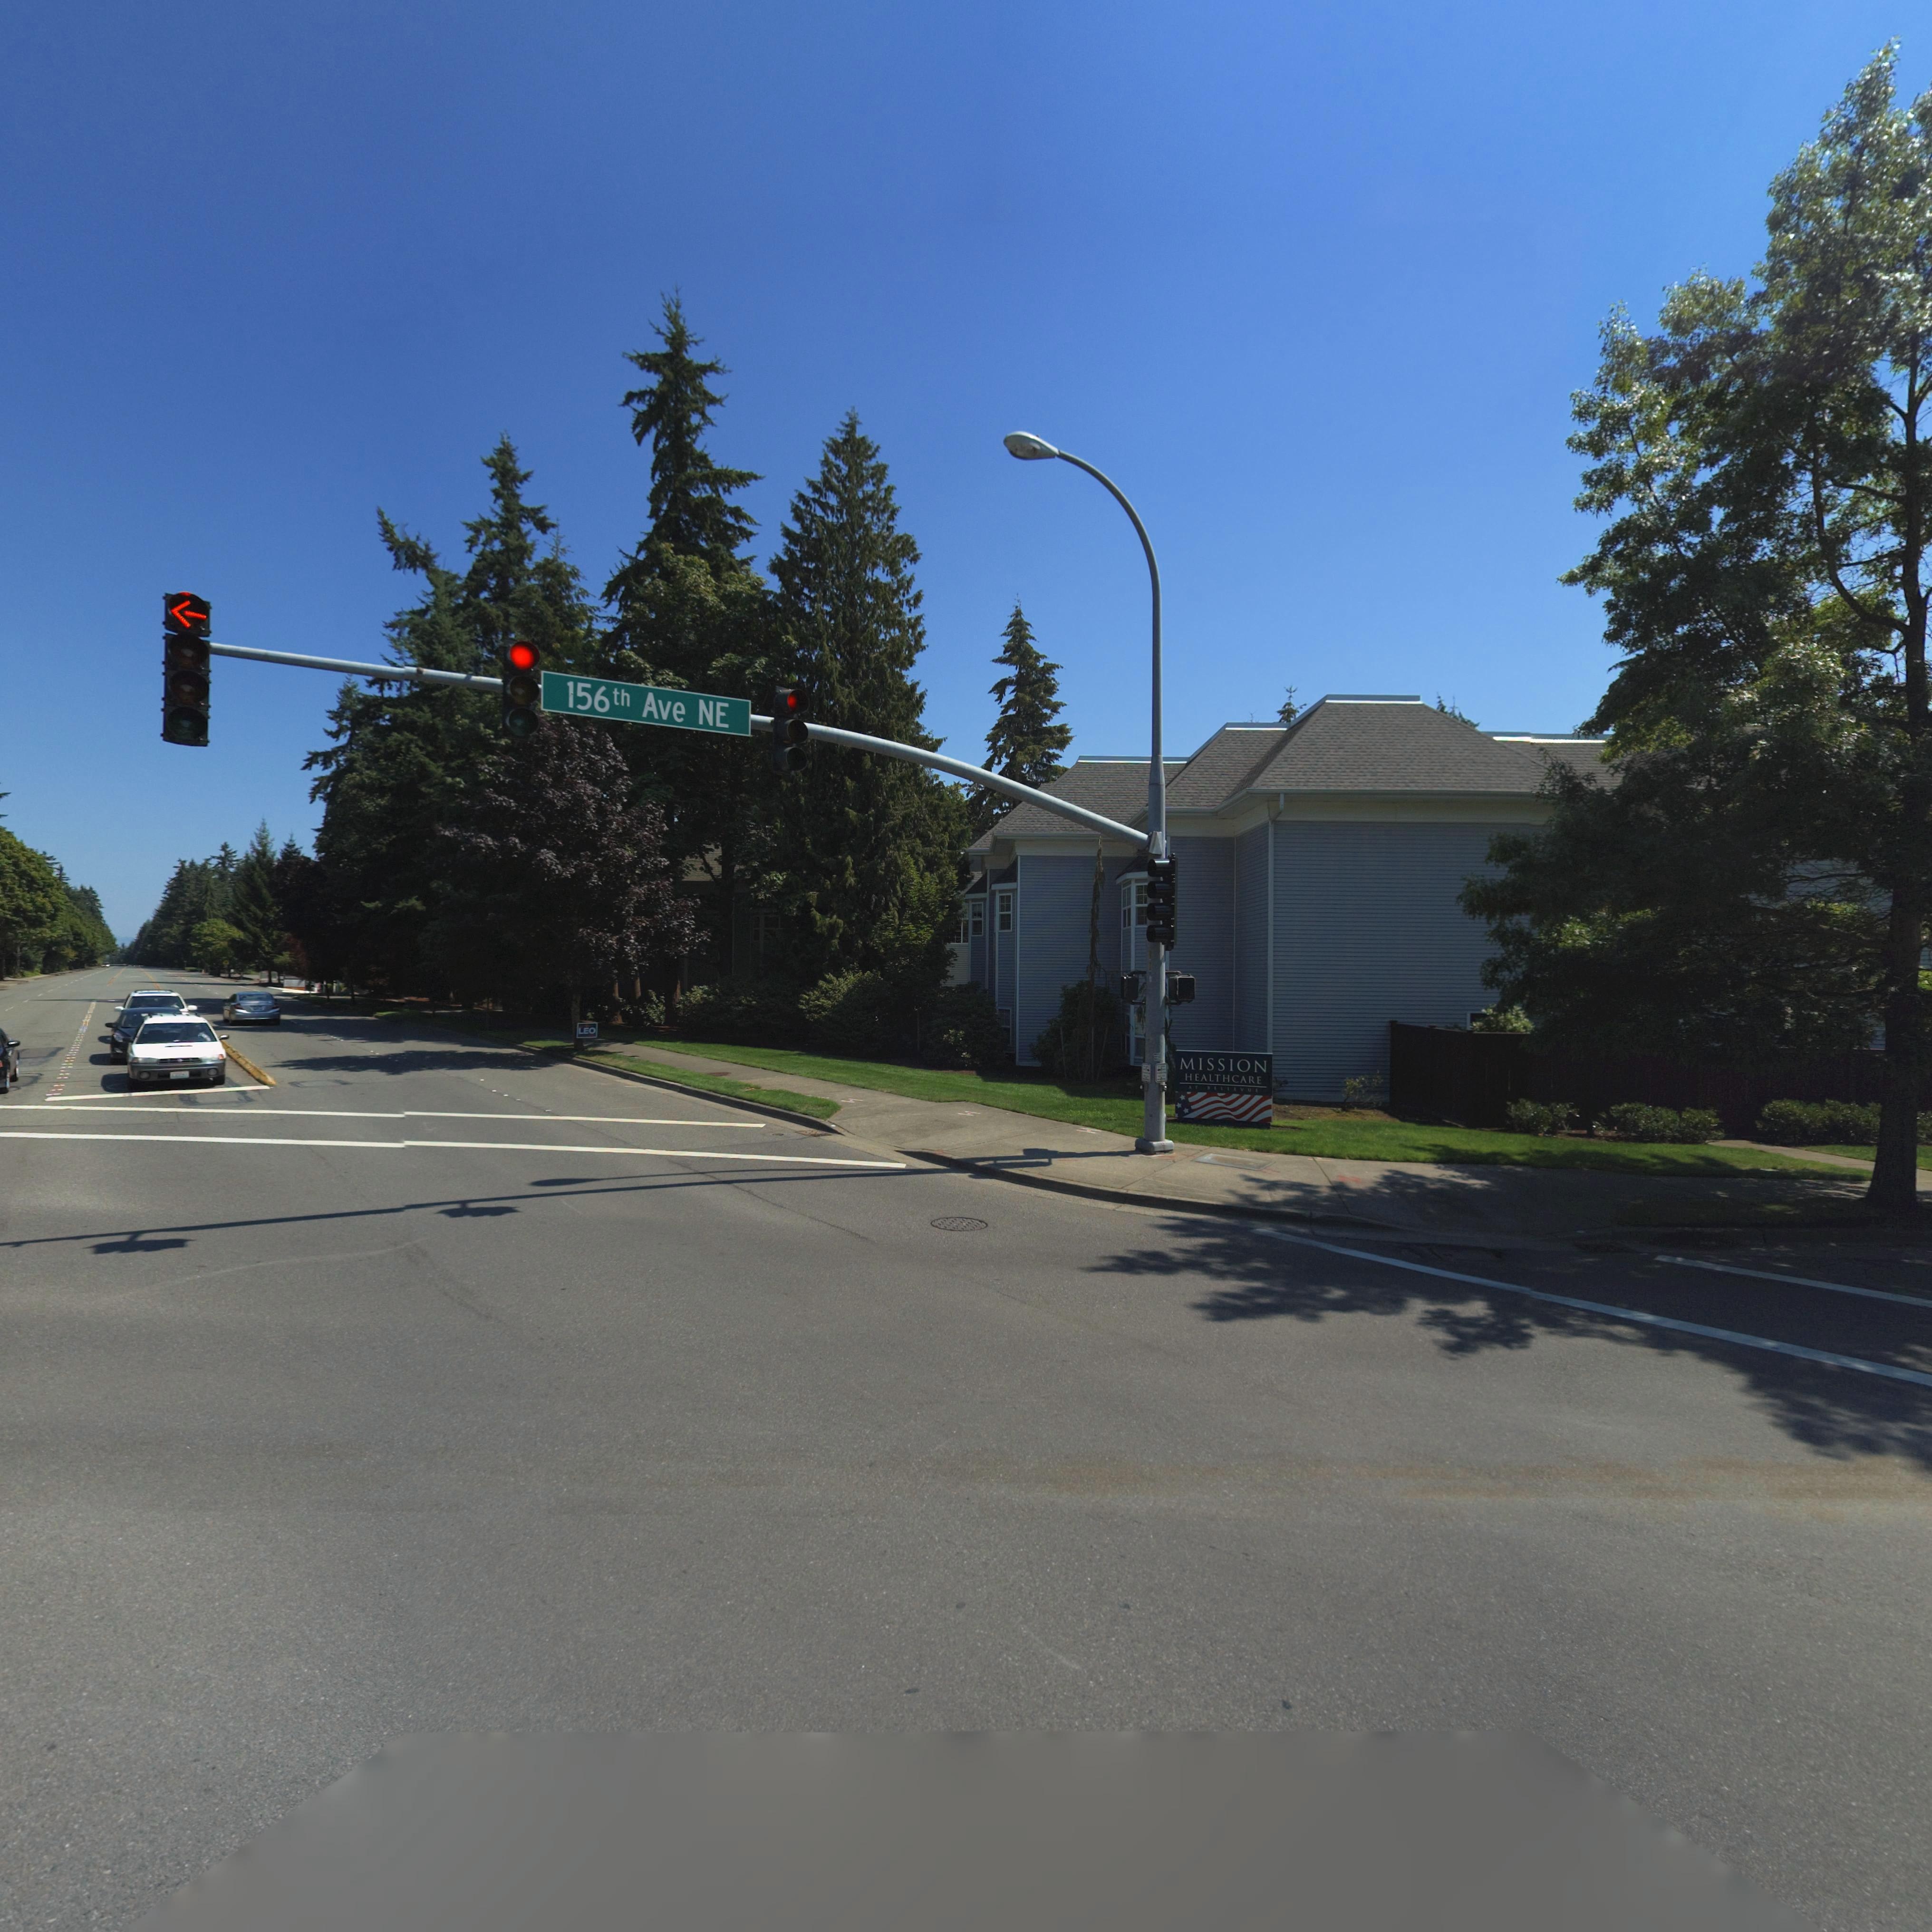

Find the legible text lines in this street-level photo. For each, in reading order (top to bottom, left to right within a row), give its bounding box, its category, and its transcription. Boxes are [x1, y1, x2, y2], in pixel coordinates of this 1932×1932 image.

[566, 679, 730, 730] StreetName: 156th Ave NE
[1179, 1057, 1266, 1072] BusinessName: MISSION
[1185, 1072, 1261, 1084] BusinessName: HEALTHCARE